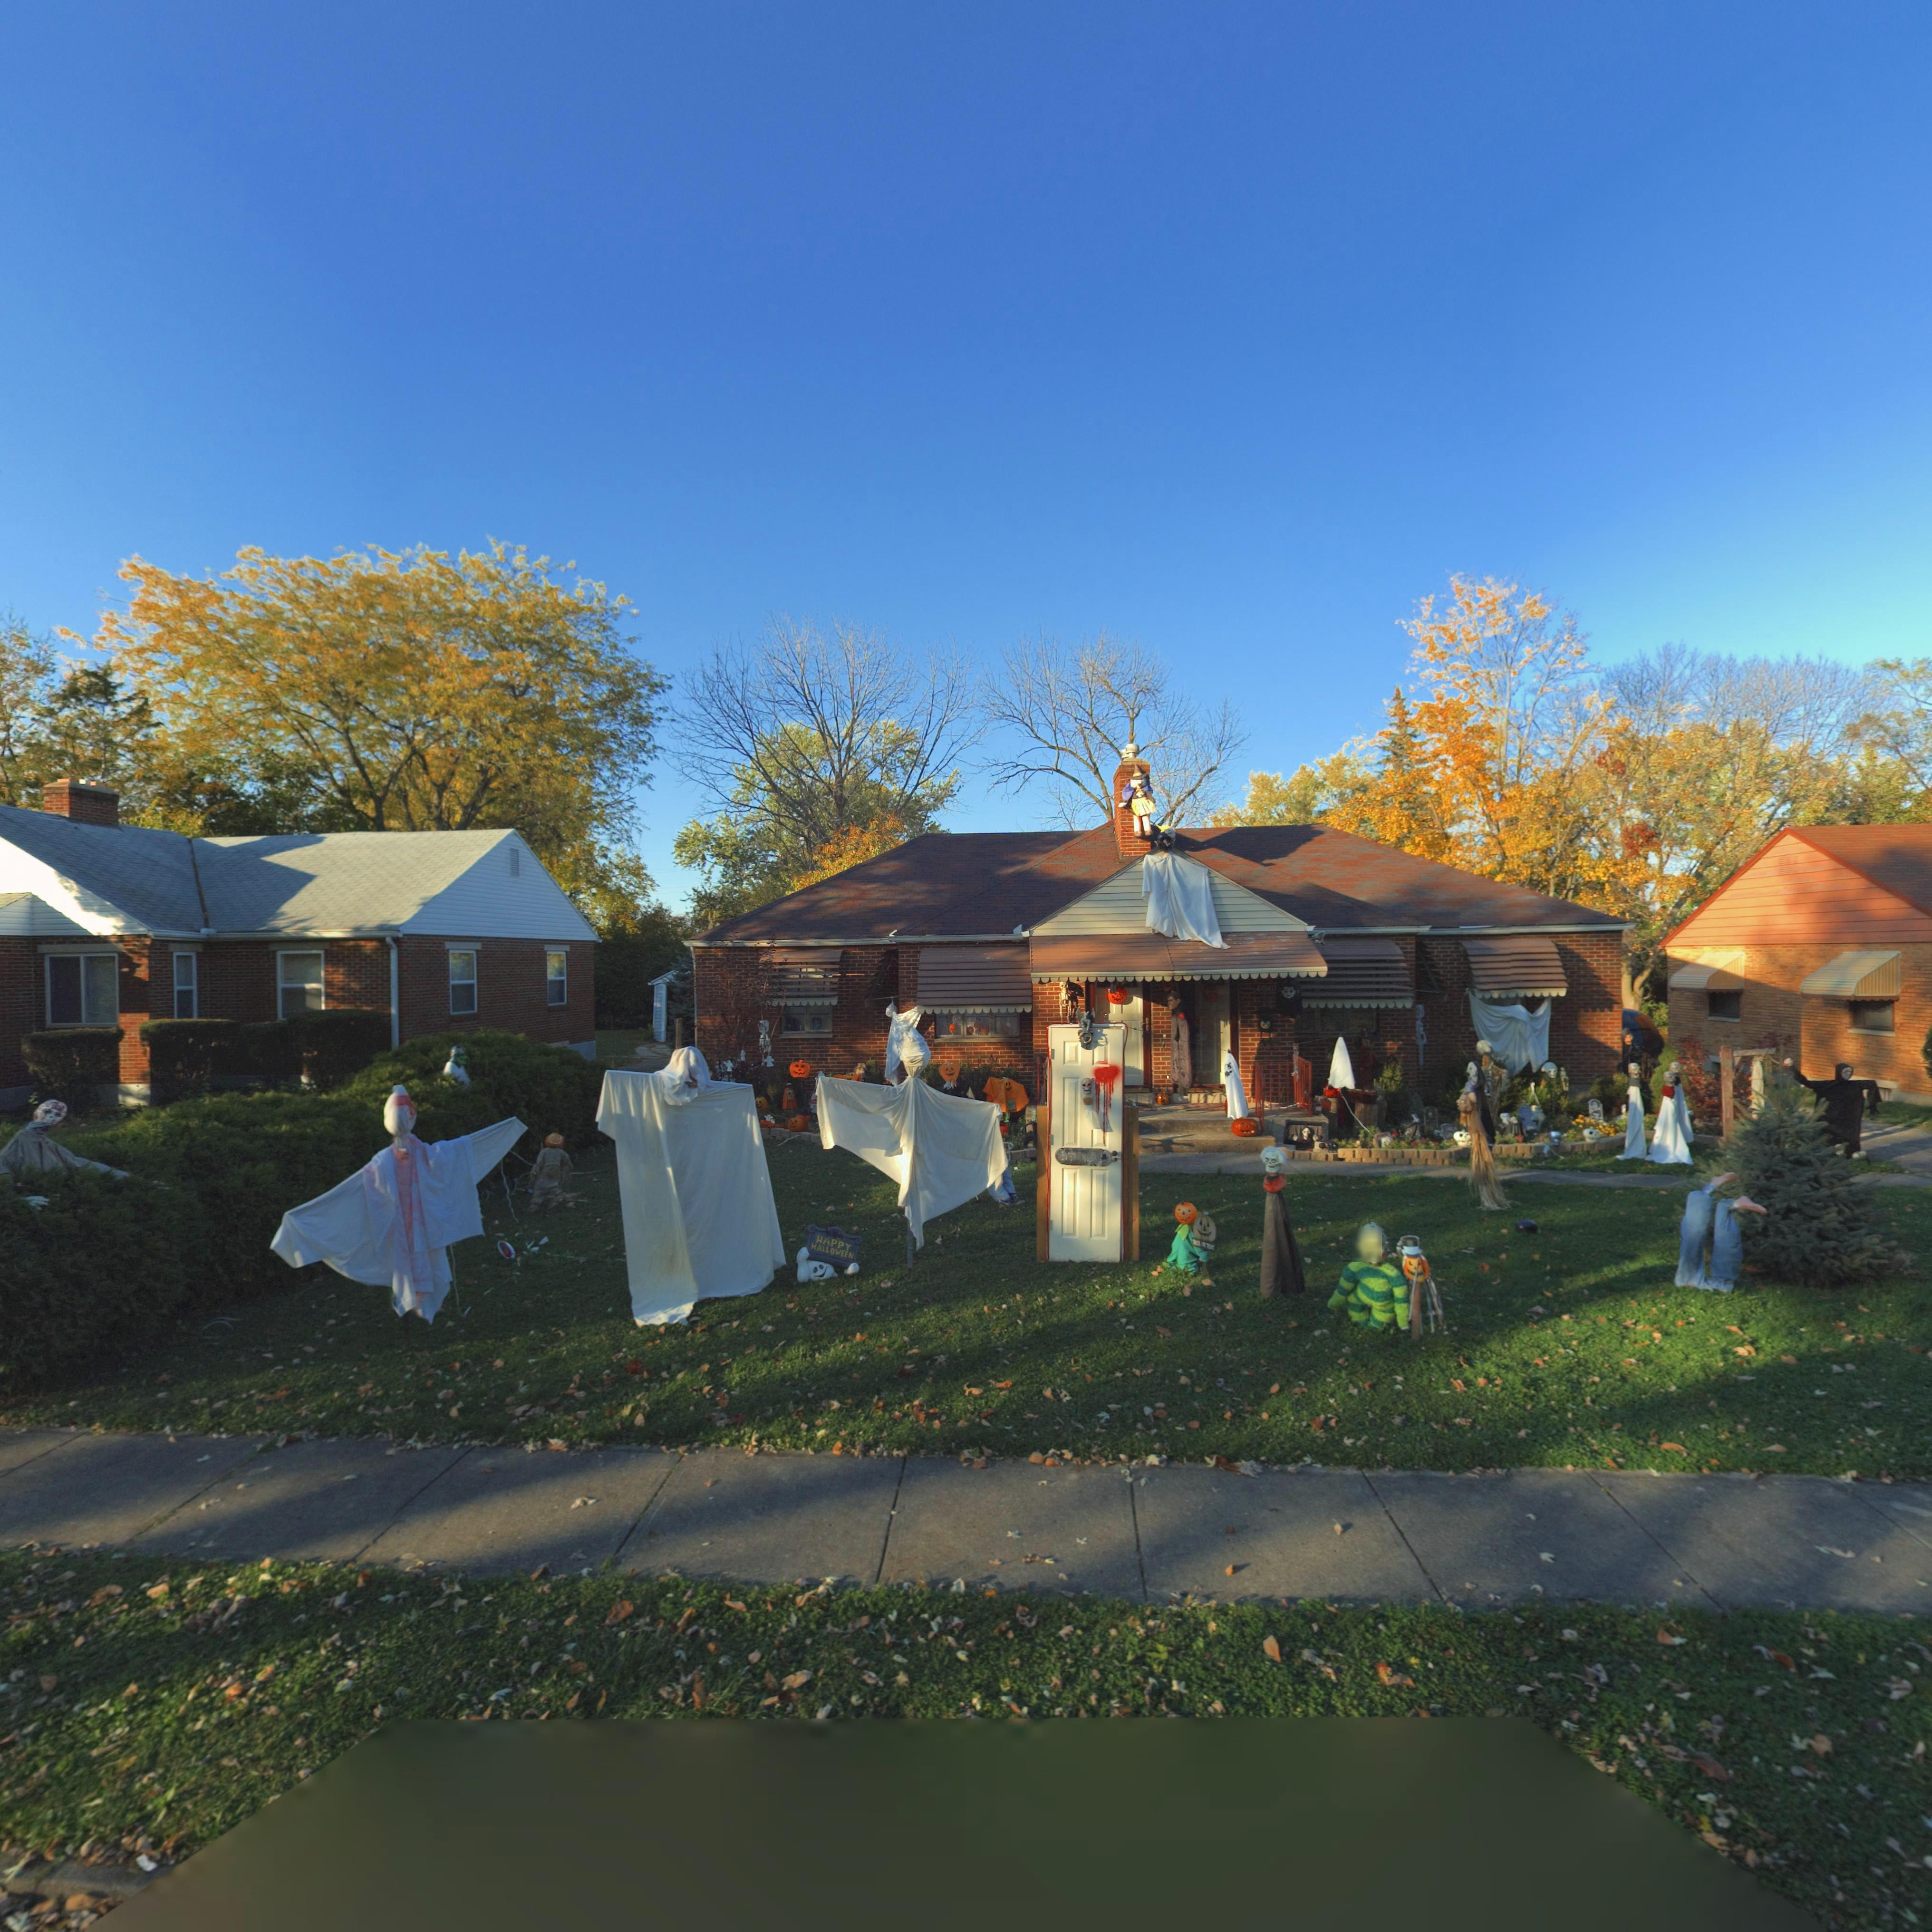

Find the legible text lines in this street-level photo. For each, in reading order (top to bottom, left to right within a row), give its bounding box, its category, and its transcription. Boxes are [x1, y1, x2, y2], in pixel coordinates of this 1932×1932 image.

[1255, 984, 1266, 993] StreetNumber: 4**
[1266, 984, 1278, 993] StreetNumber: 417